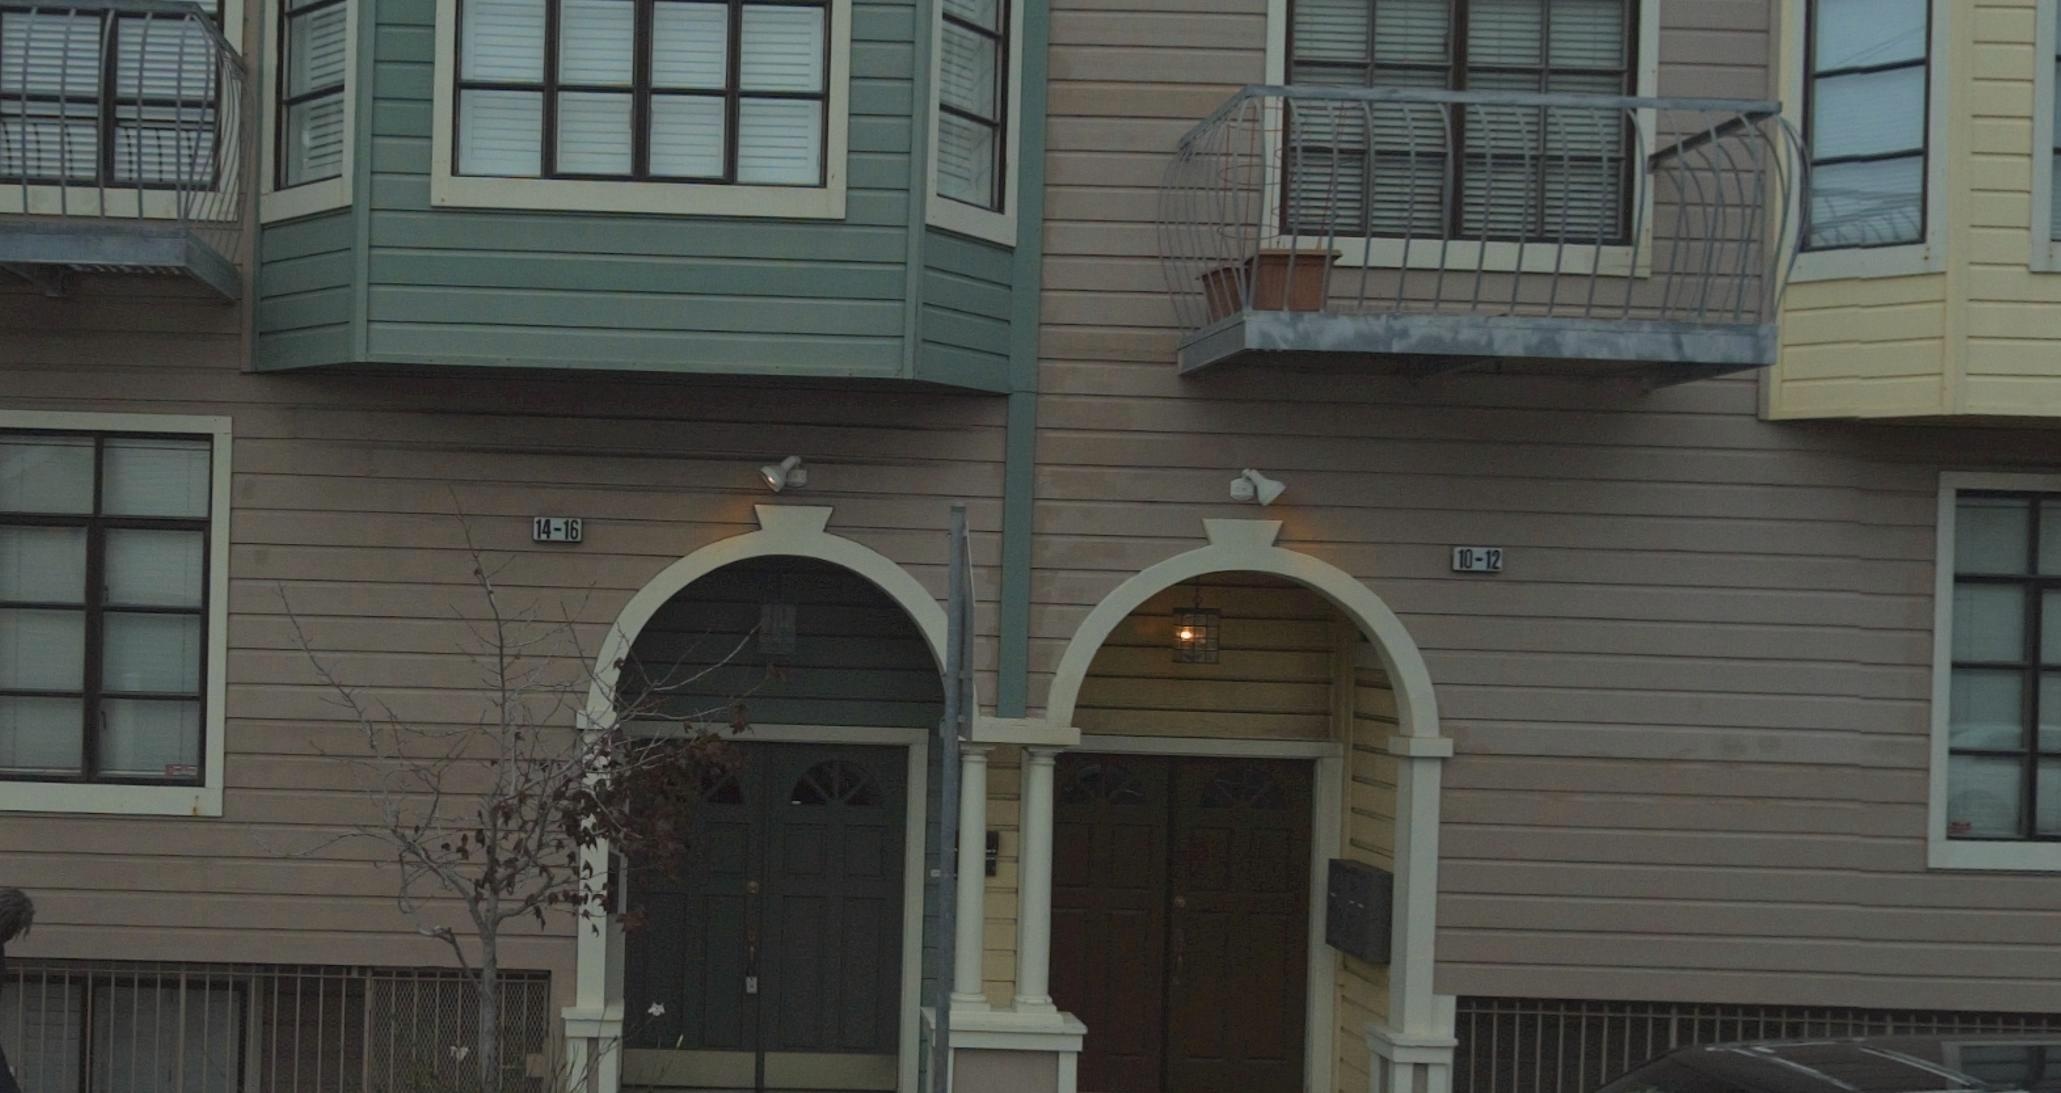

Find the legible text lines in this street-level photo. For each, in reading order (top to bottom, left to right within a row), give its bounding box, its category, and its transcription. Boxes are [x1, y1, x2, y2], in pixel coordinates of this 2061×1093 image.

[533, 517, 554, 540] StreetNumber: 14
[562, 518, 581, 541] StreetNumber: 16
[1457, 547, 1475, 570] StreetNumber: 10
[1483, 548, 1503, 570] StreetNumber: 12